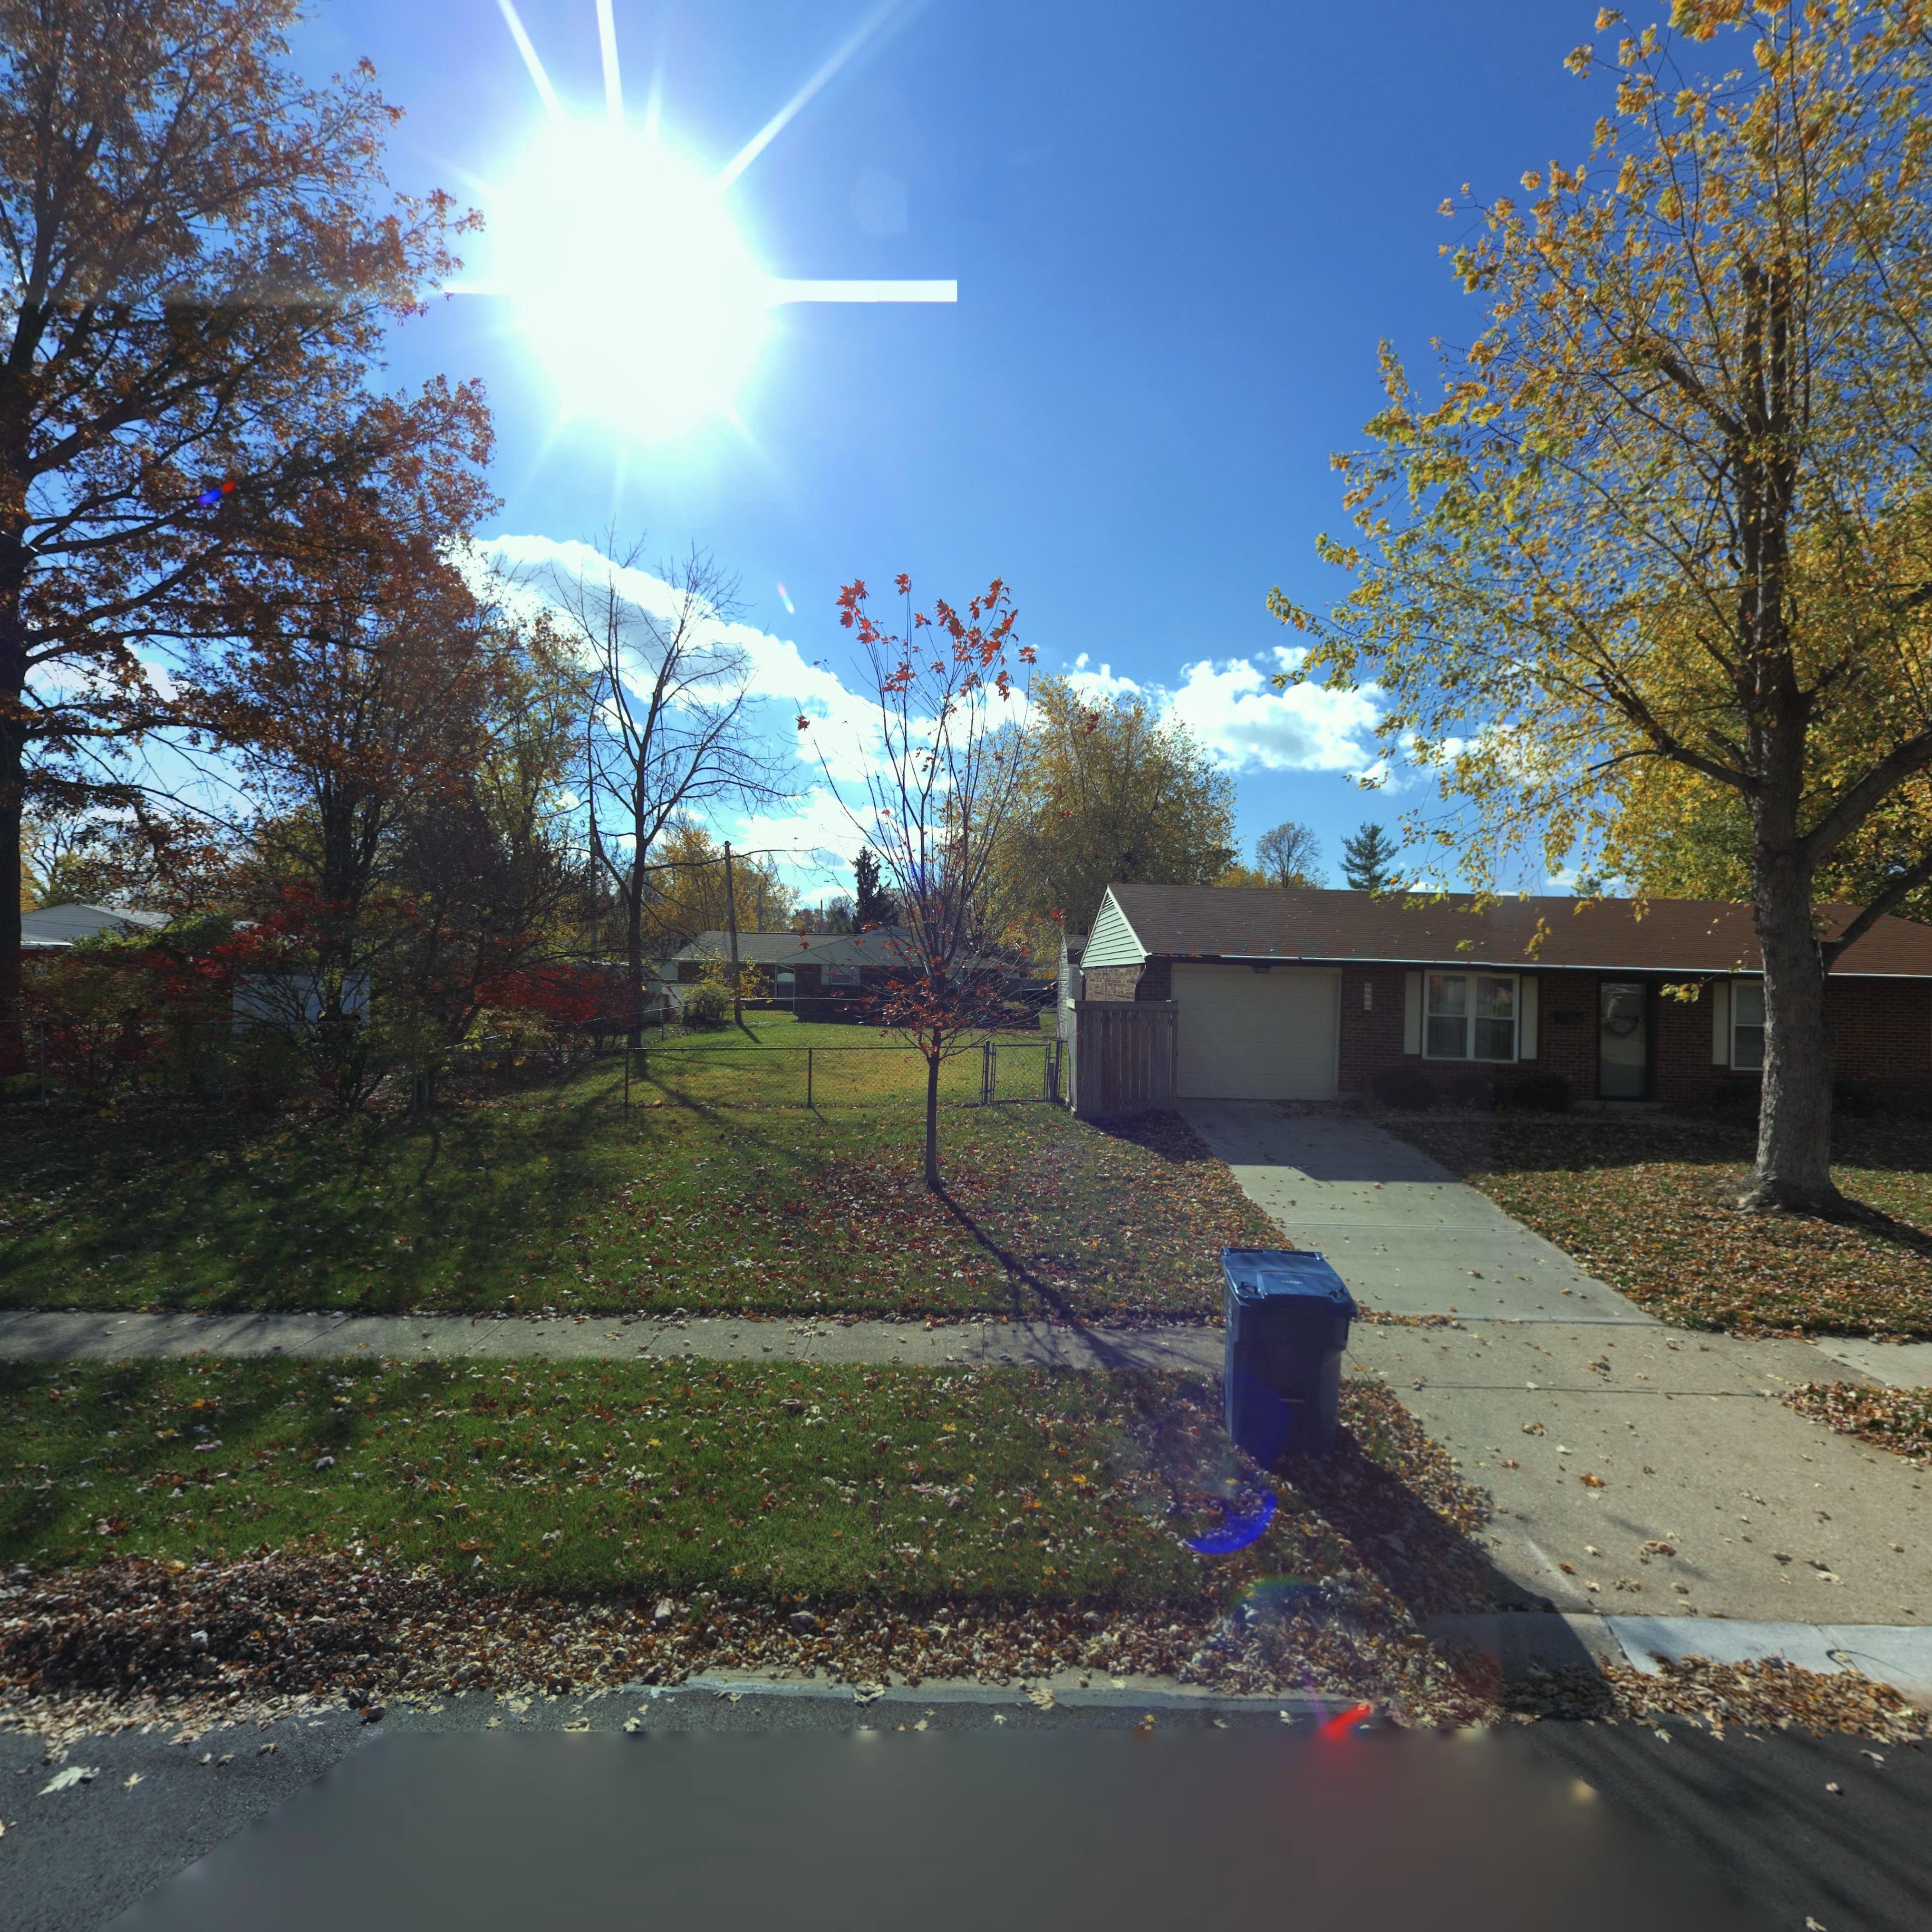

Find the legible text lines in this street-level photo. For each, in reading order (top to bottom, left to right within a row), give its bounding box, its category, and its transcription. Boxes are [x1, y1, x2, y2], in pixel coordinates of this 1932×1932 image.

[1364, 983, 1372, 1010] StreetNumber: 6*00